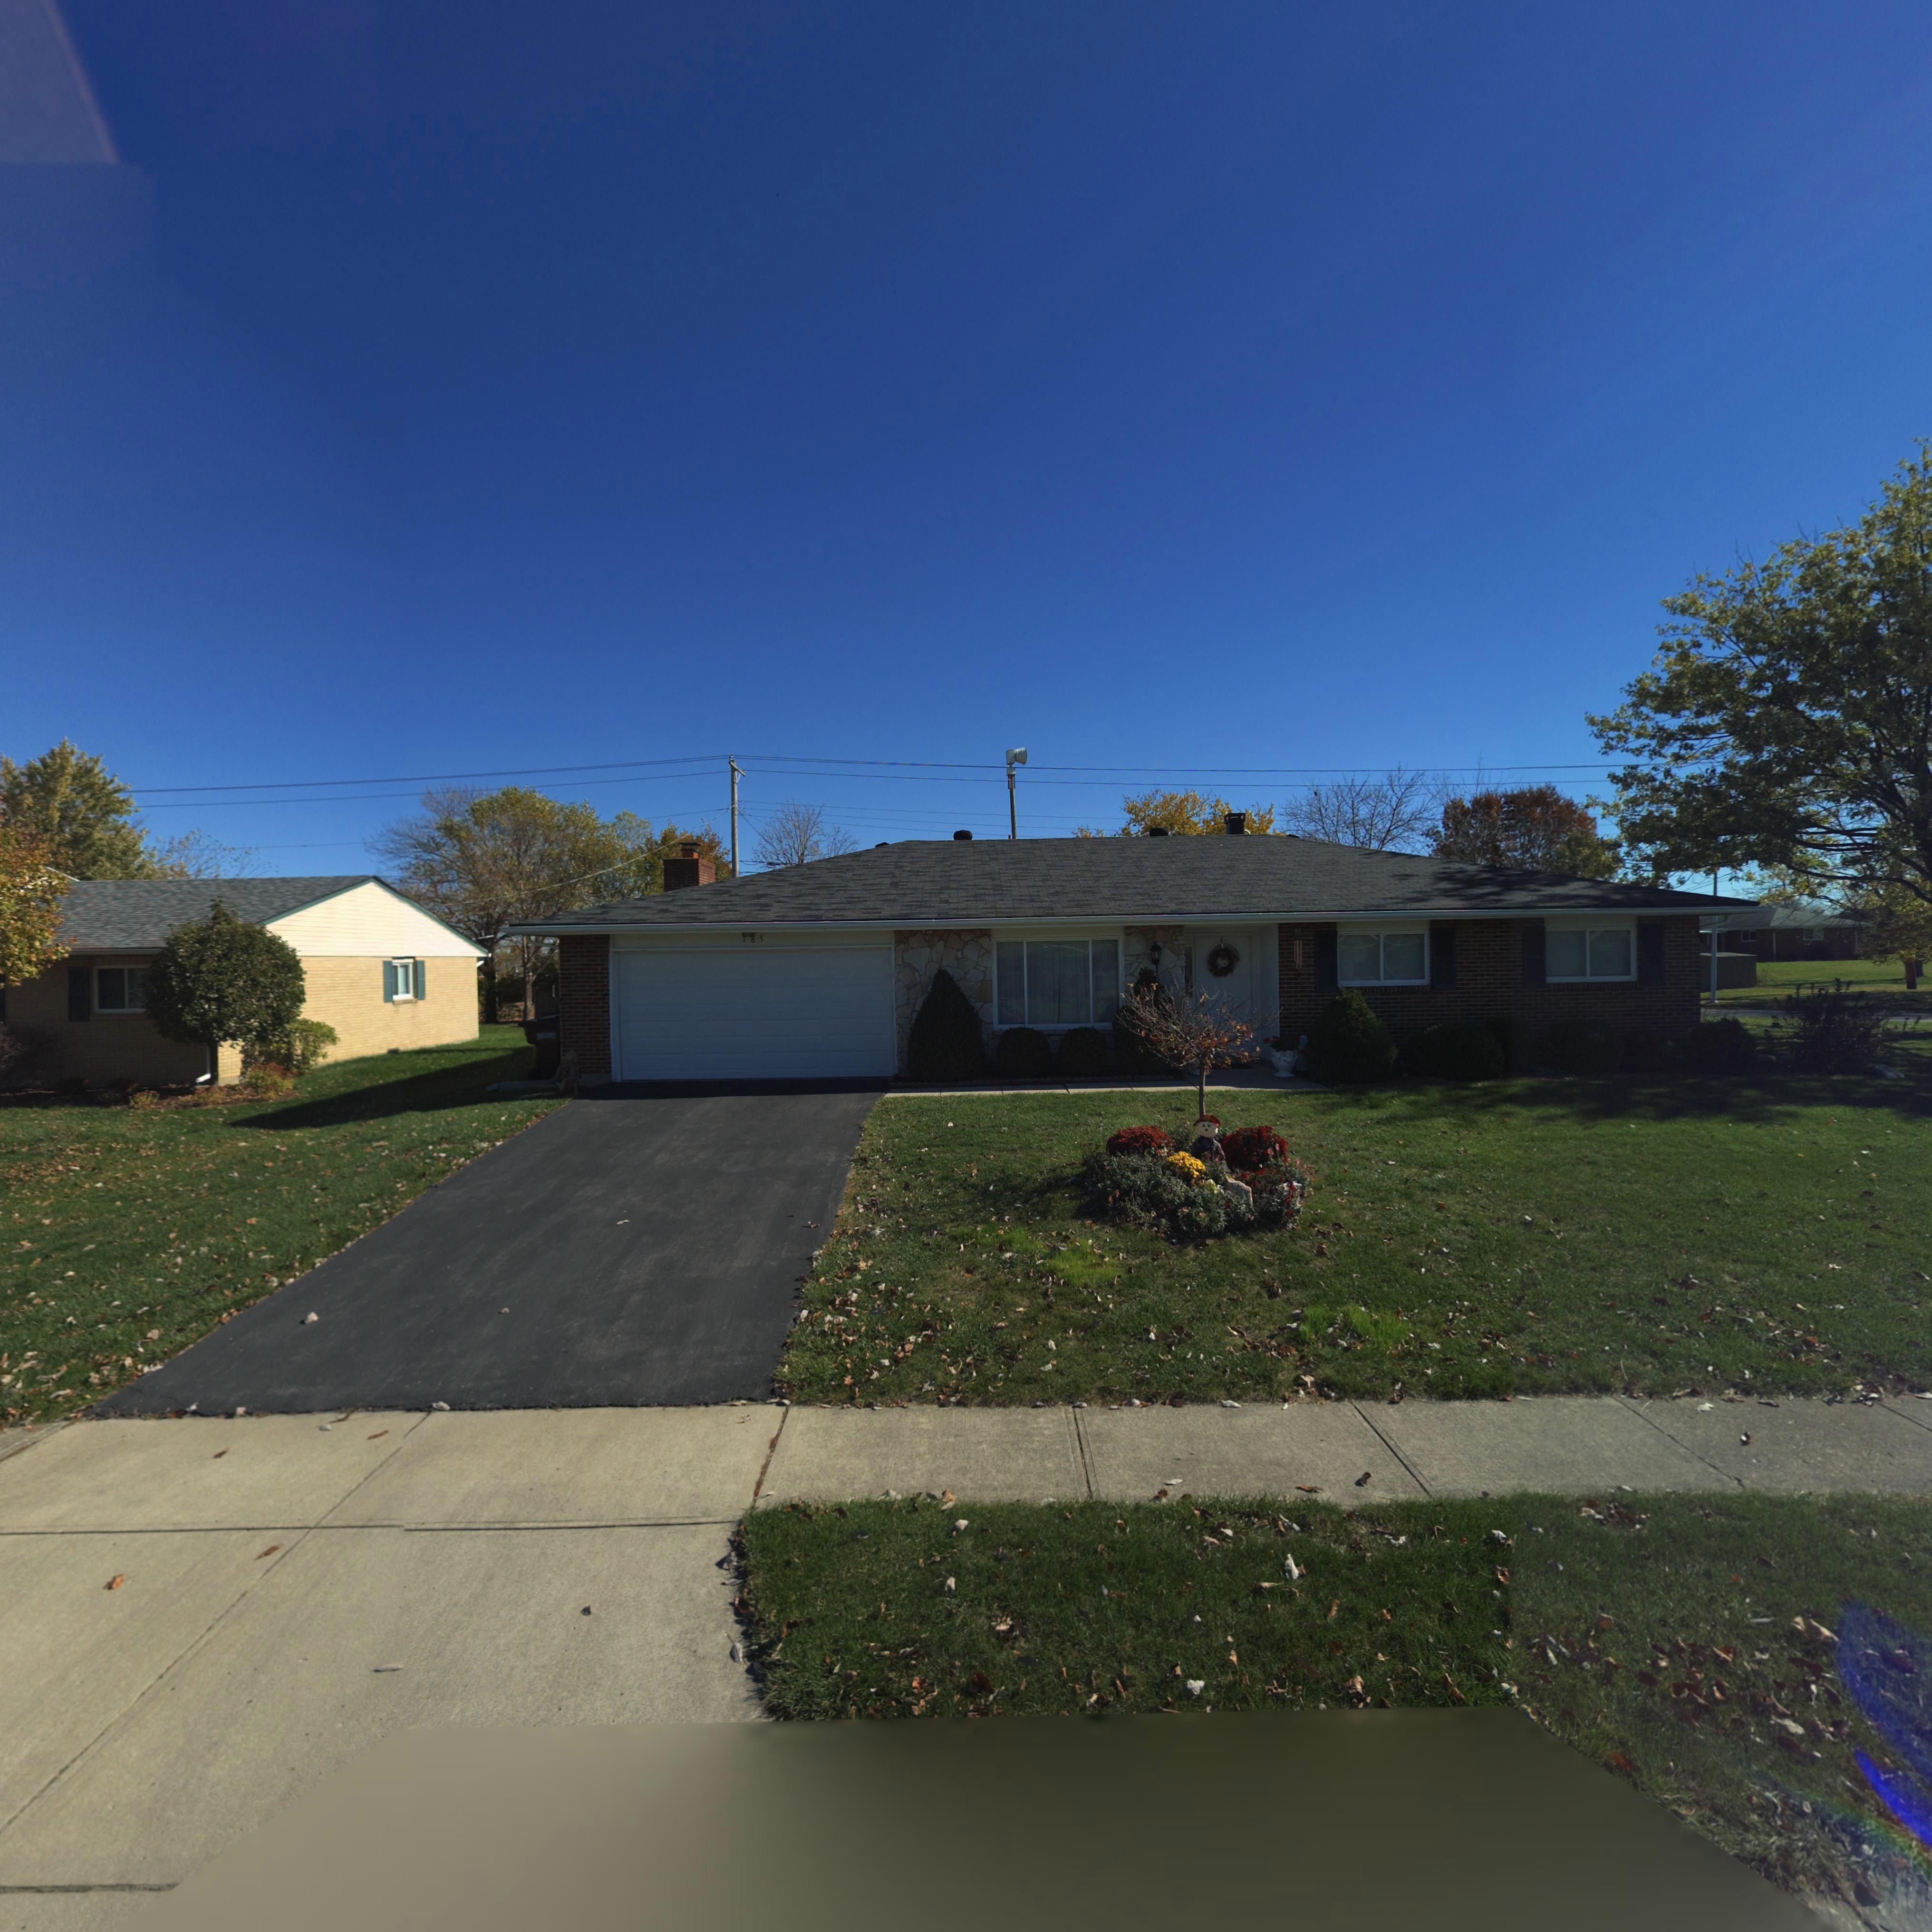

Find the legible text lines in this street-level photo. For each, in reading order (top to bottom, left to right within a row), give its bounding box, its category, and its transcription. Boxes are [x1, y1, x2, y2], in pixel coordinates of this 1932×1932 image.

[742, 935, 764, 943] StreetNumber: **5